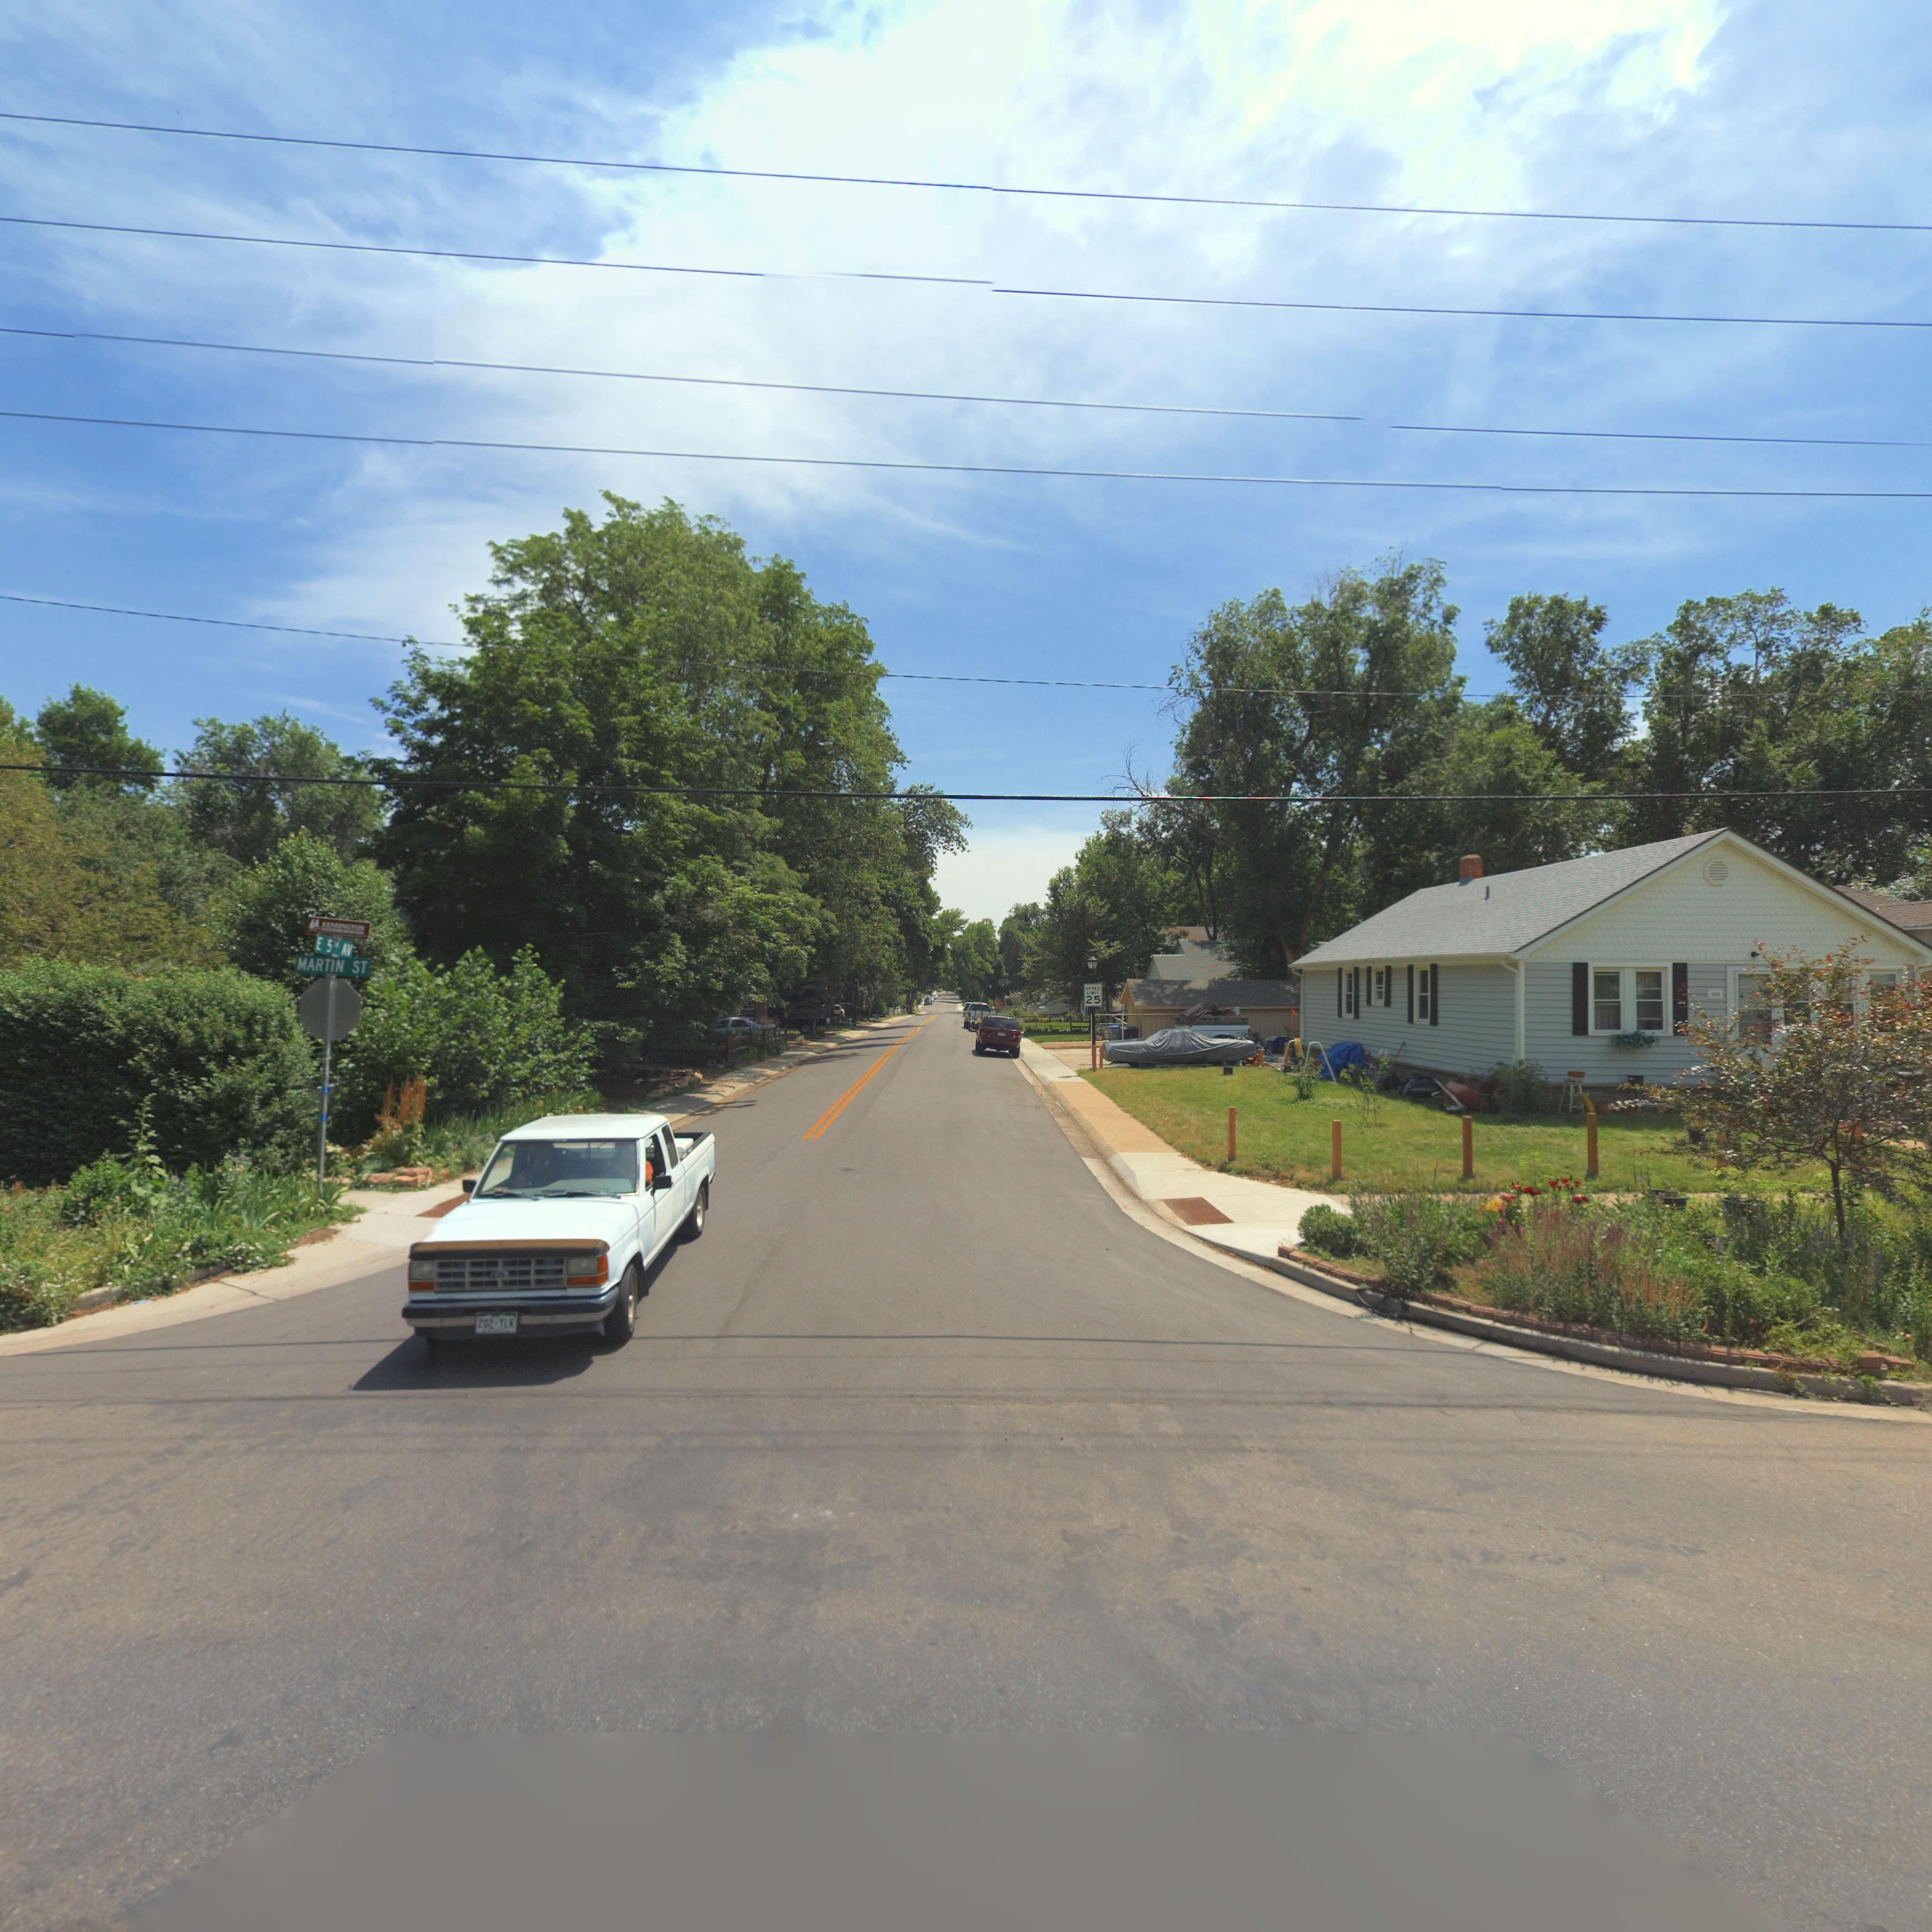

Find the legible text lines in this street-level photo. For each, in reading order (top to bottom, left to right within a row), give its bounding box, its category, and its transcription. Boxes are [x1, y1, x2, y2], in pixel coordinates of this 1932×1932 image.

[315, 936, 354, 957] StreetName: E 5TH AV
[296, 957, 368, 975] StreetName: MARTIN ST